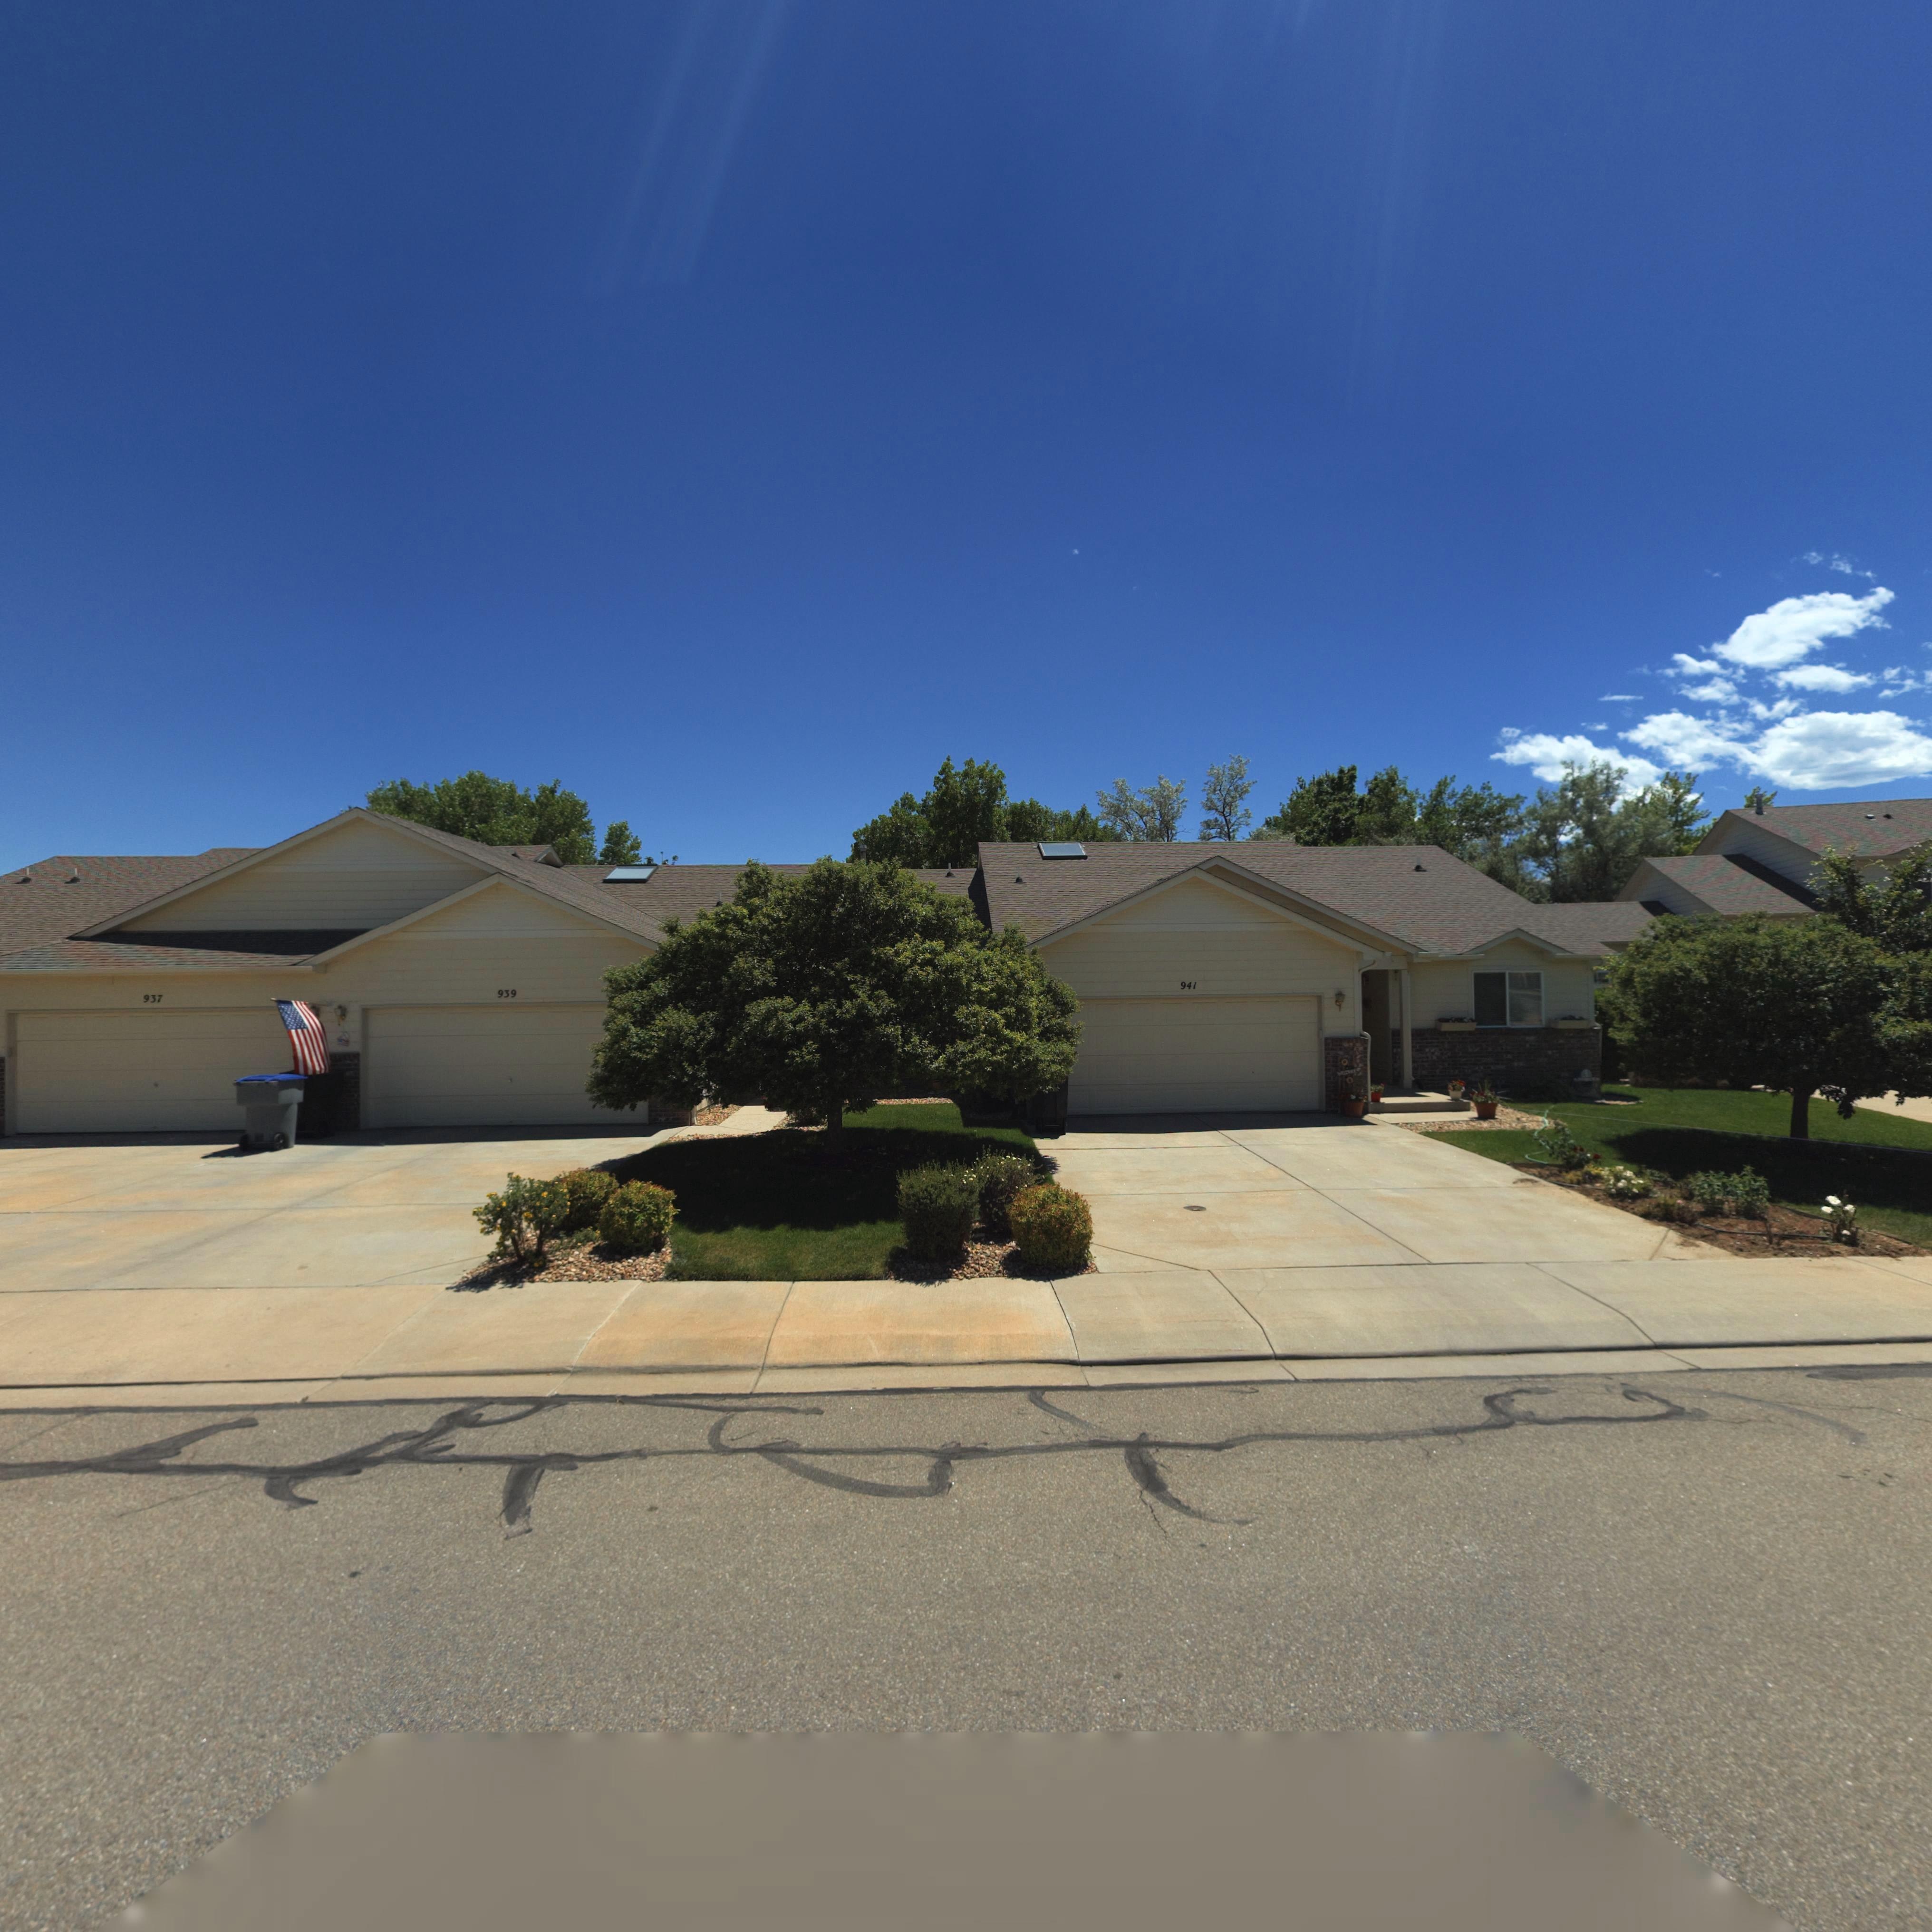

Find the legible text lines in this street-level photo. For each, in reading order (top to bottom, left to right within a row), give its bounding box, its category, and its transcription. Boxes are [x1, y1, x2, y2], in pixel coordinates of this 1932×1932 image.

[1179, 981, 1197, 990] StreetNumber: 941
[143, 994, 163, 1003] StreetNumber: 937
[497, 989, 517, 998] StreetNumber: 939